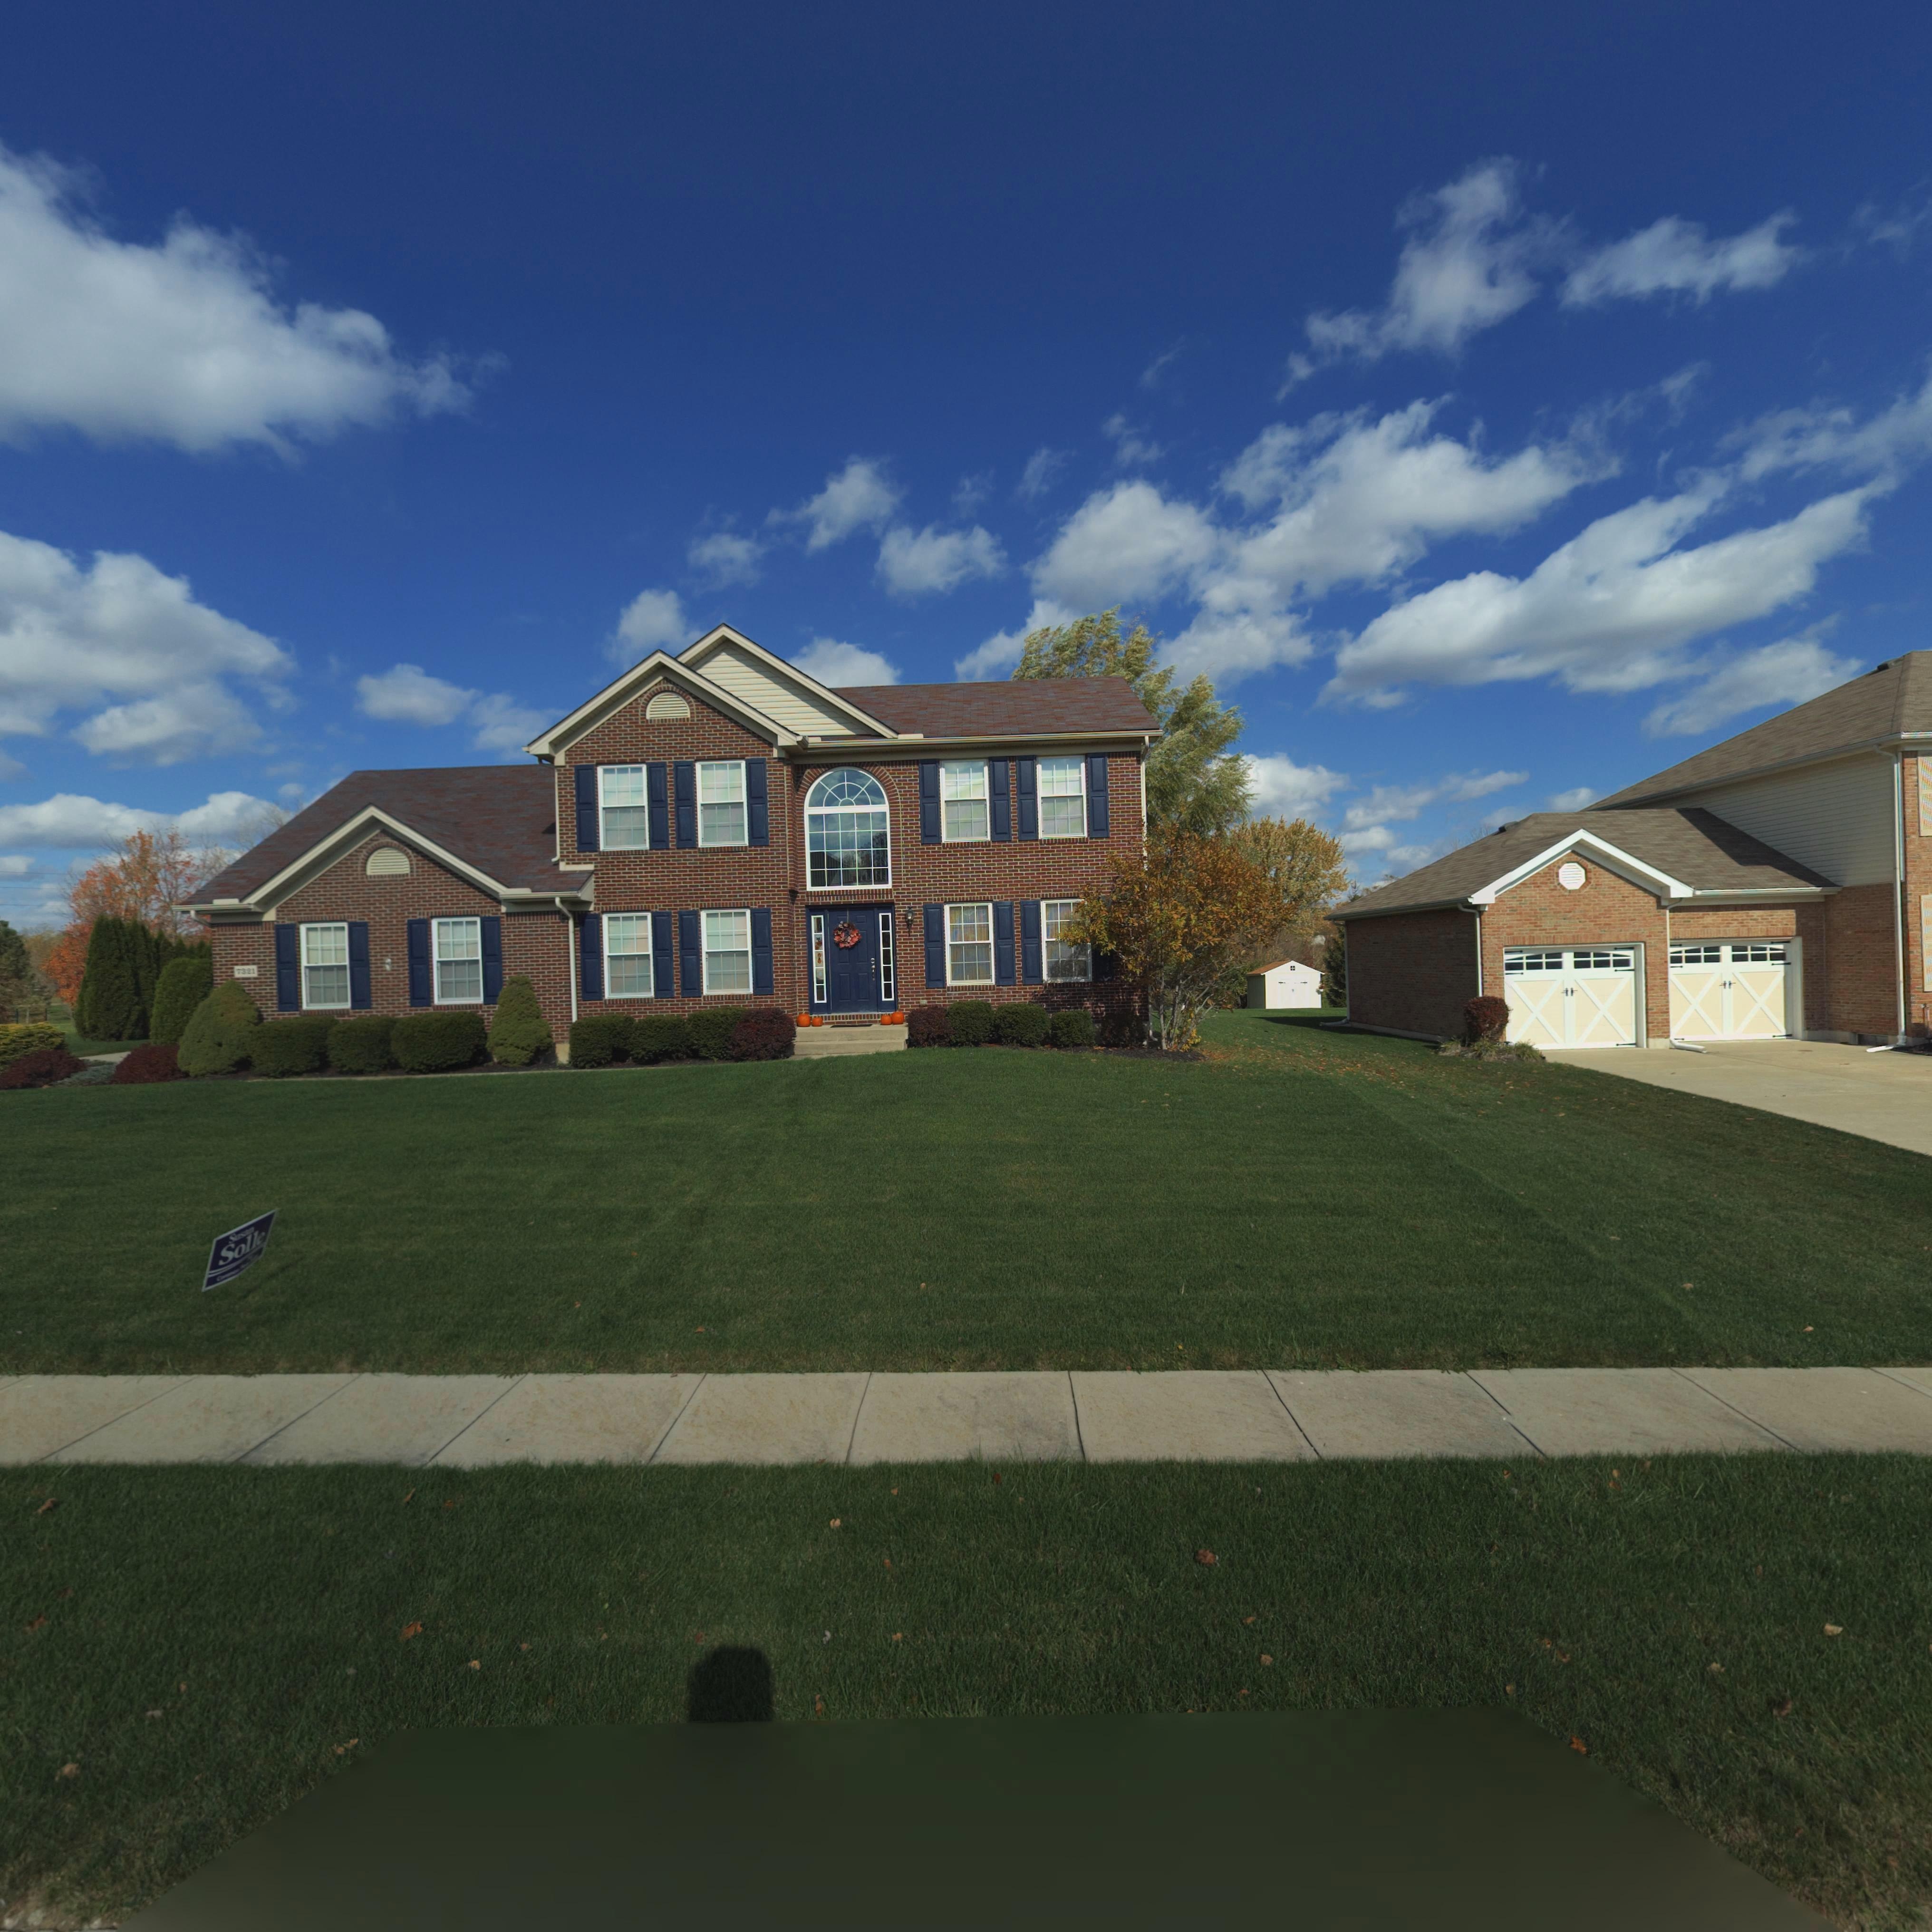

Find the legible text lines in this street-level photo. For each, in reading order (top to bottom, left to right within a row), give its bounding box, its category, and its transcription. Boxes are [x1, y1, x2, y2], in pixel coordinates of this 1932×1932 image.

[236, 967, 256, 976] StreetNumber: 7321